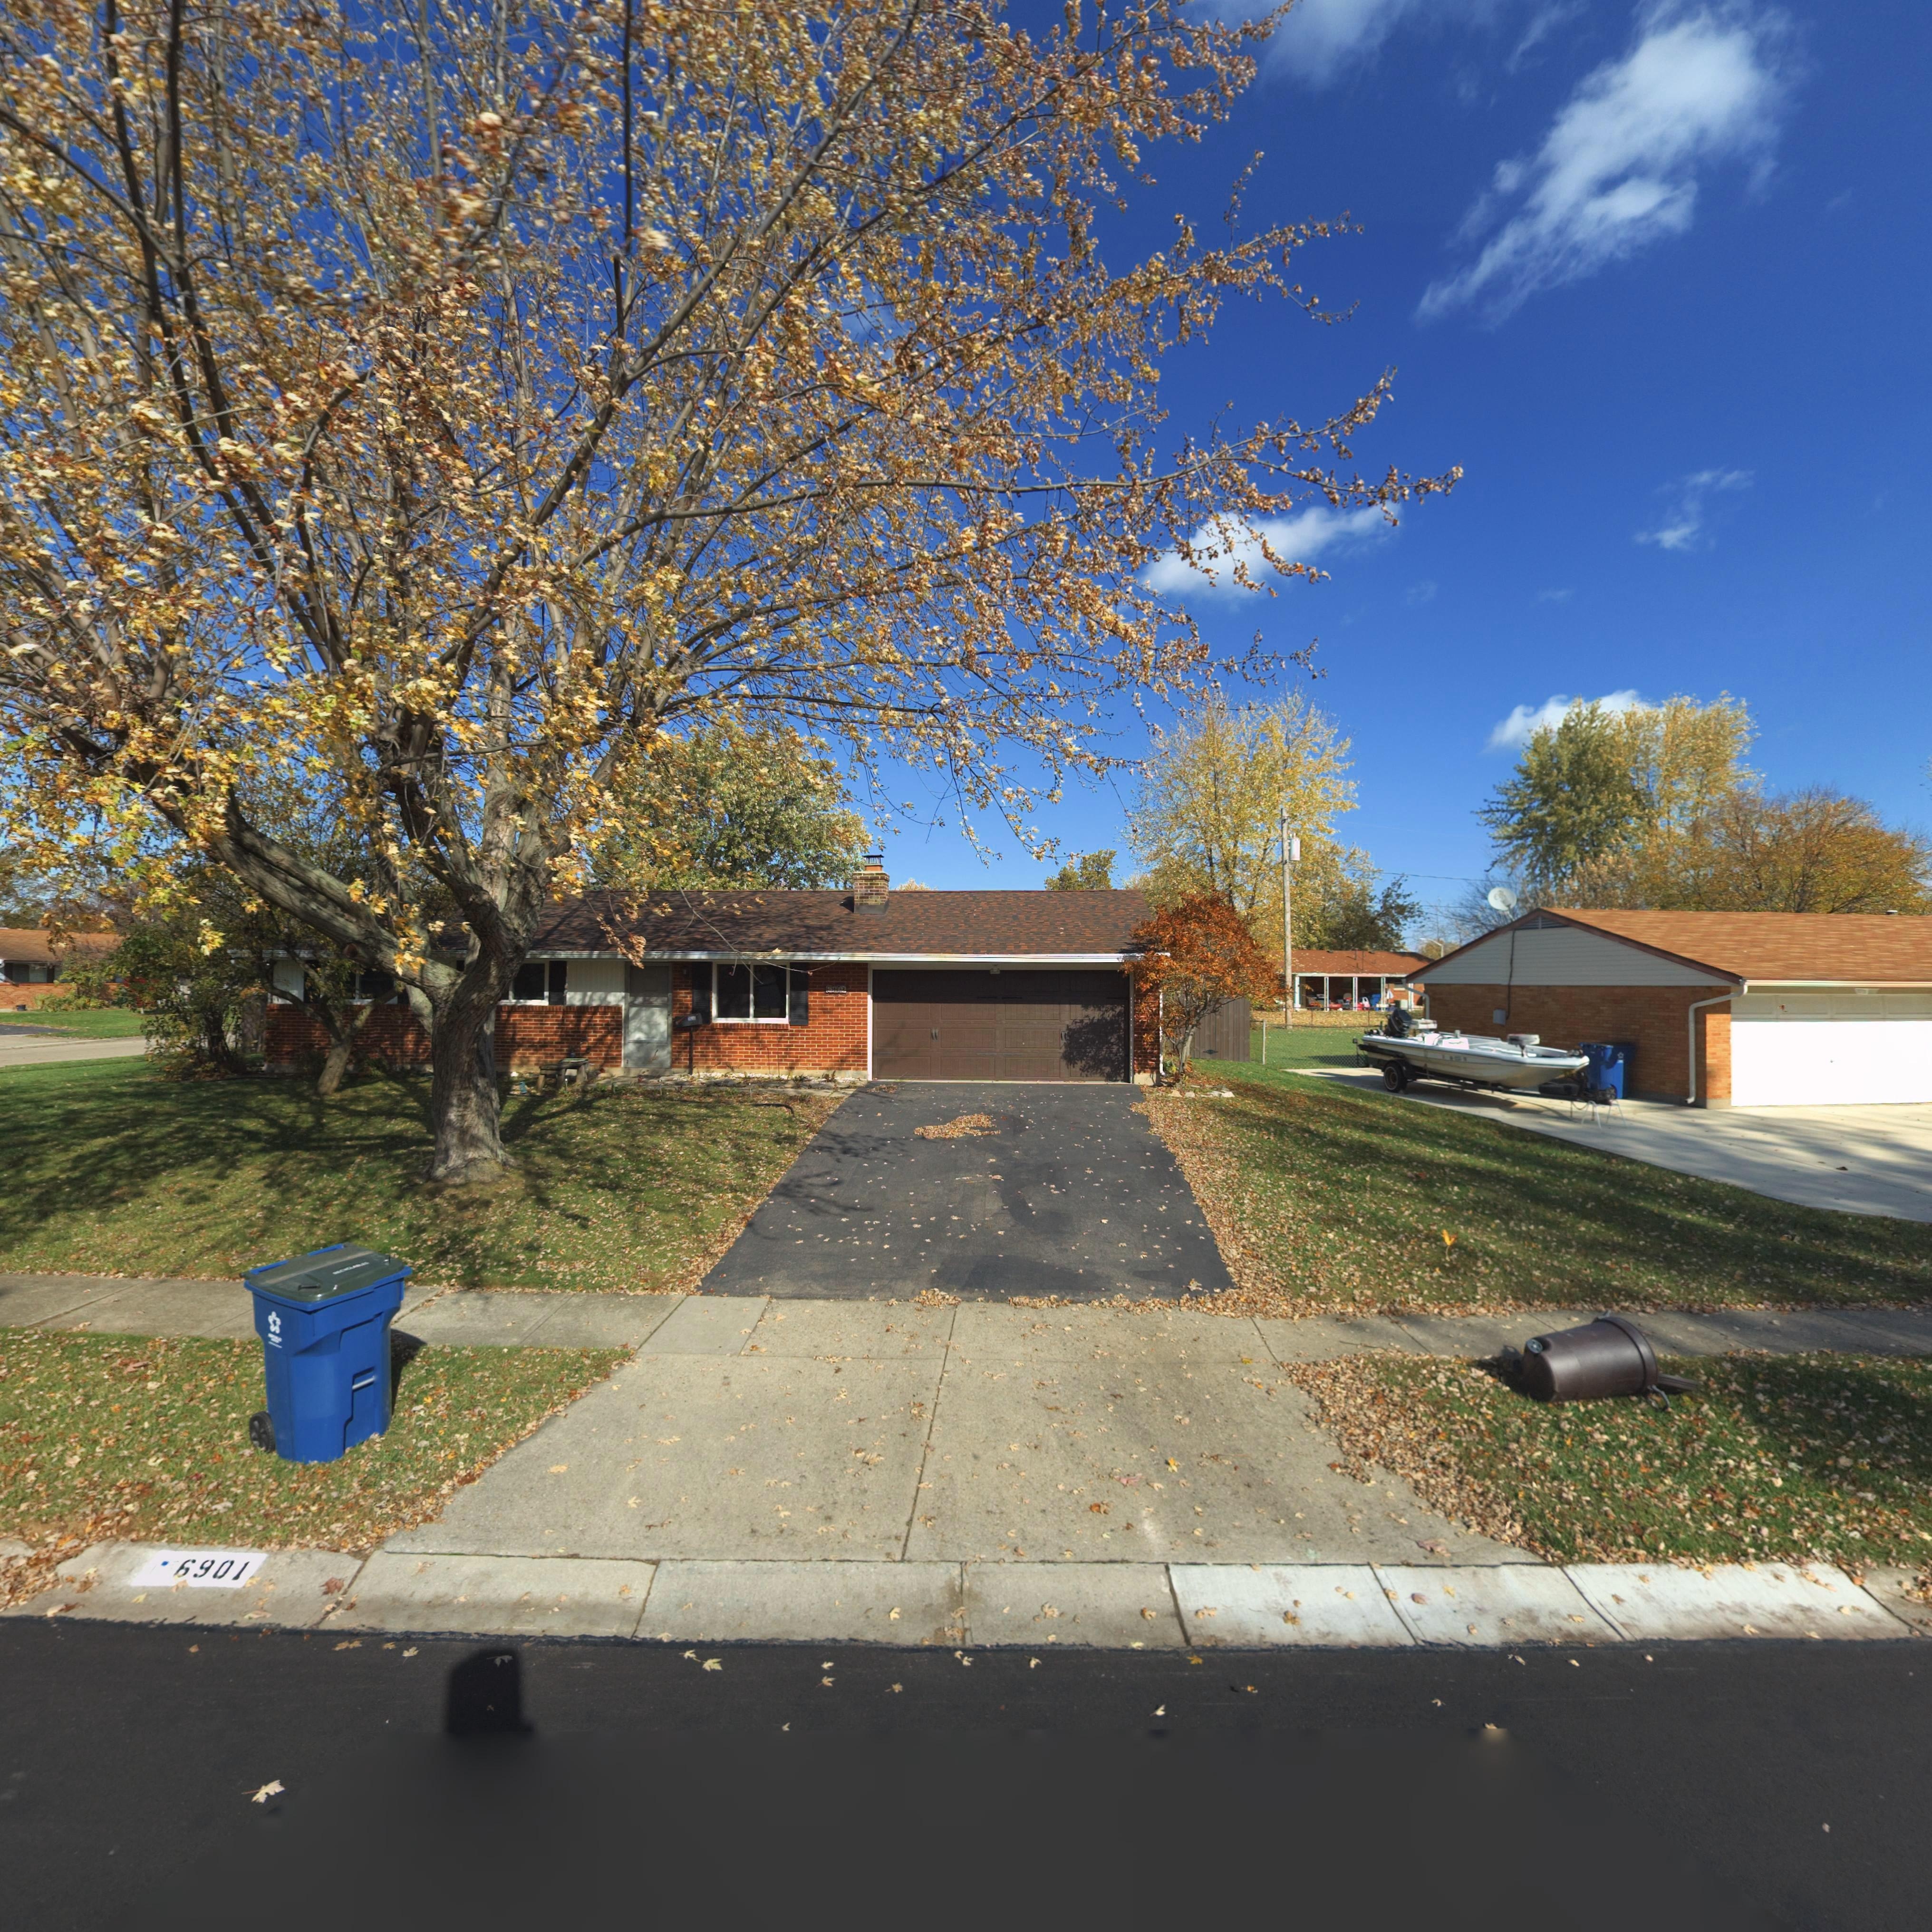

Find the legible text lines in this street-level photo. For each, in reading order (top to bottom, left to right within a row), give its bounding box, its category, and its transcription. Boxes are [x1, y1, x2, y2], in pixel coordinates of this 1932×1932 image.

[171, 1557, 252, 1583] StreetNumber: 6901